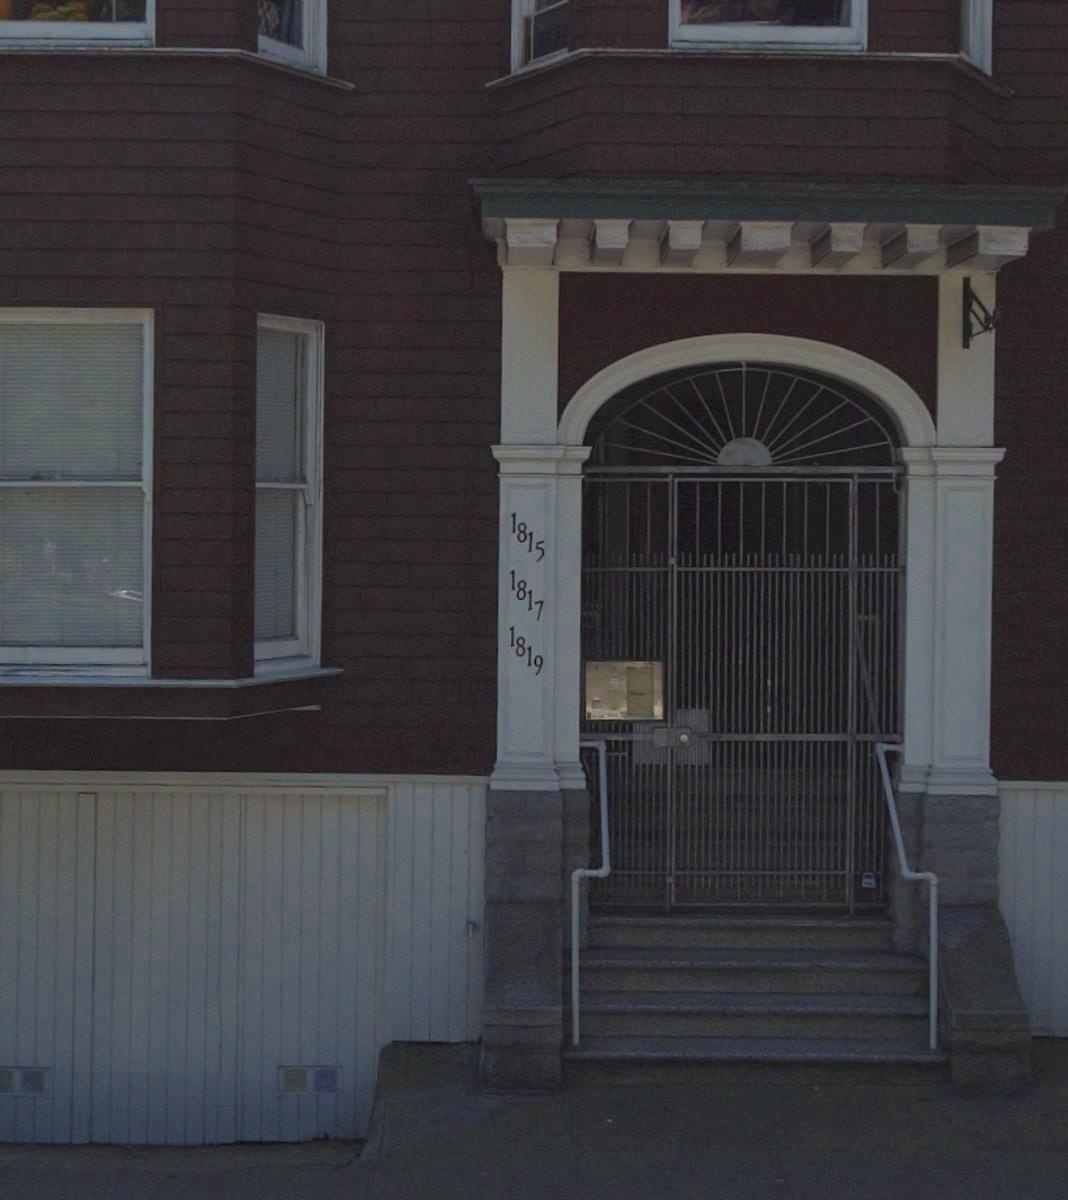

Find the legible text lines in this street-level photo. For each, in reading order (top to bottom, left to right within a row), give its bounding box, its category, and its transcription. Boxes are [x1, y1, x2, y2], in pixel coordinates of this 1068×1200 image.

[510, 507, 546, 567] StreetNumber: 1815
[509, 564, 547, 625] StreetNumber: 1817
[506, 620, 548, 680] StreetNumber: 1819